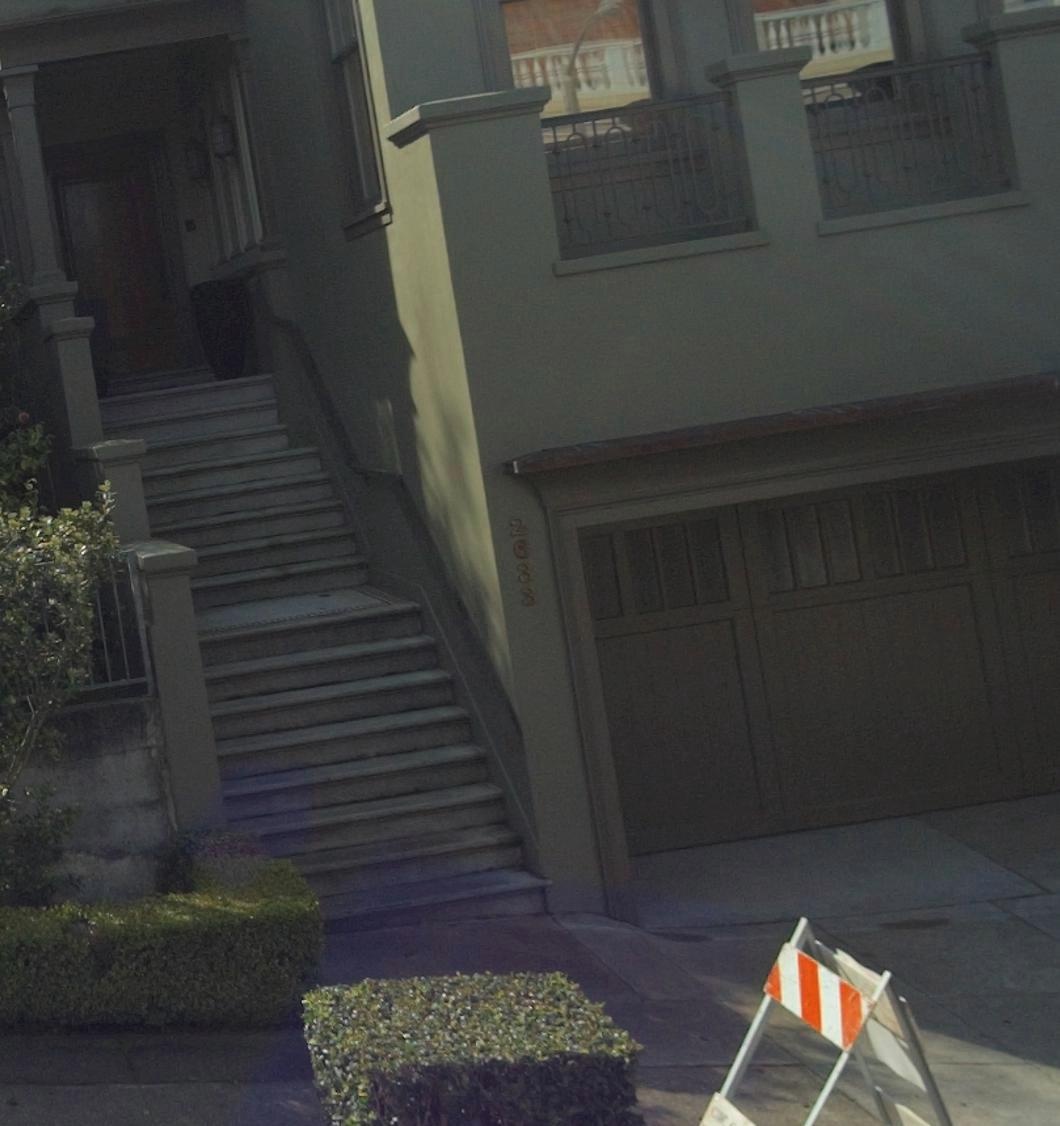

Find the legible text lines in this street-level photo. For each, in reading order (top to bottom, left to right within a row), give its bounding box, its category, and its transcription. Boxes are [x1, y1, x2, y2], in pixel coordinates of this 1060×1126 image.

[507, 516, 540, 609] StreetNumber: 2633